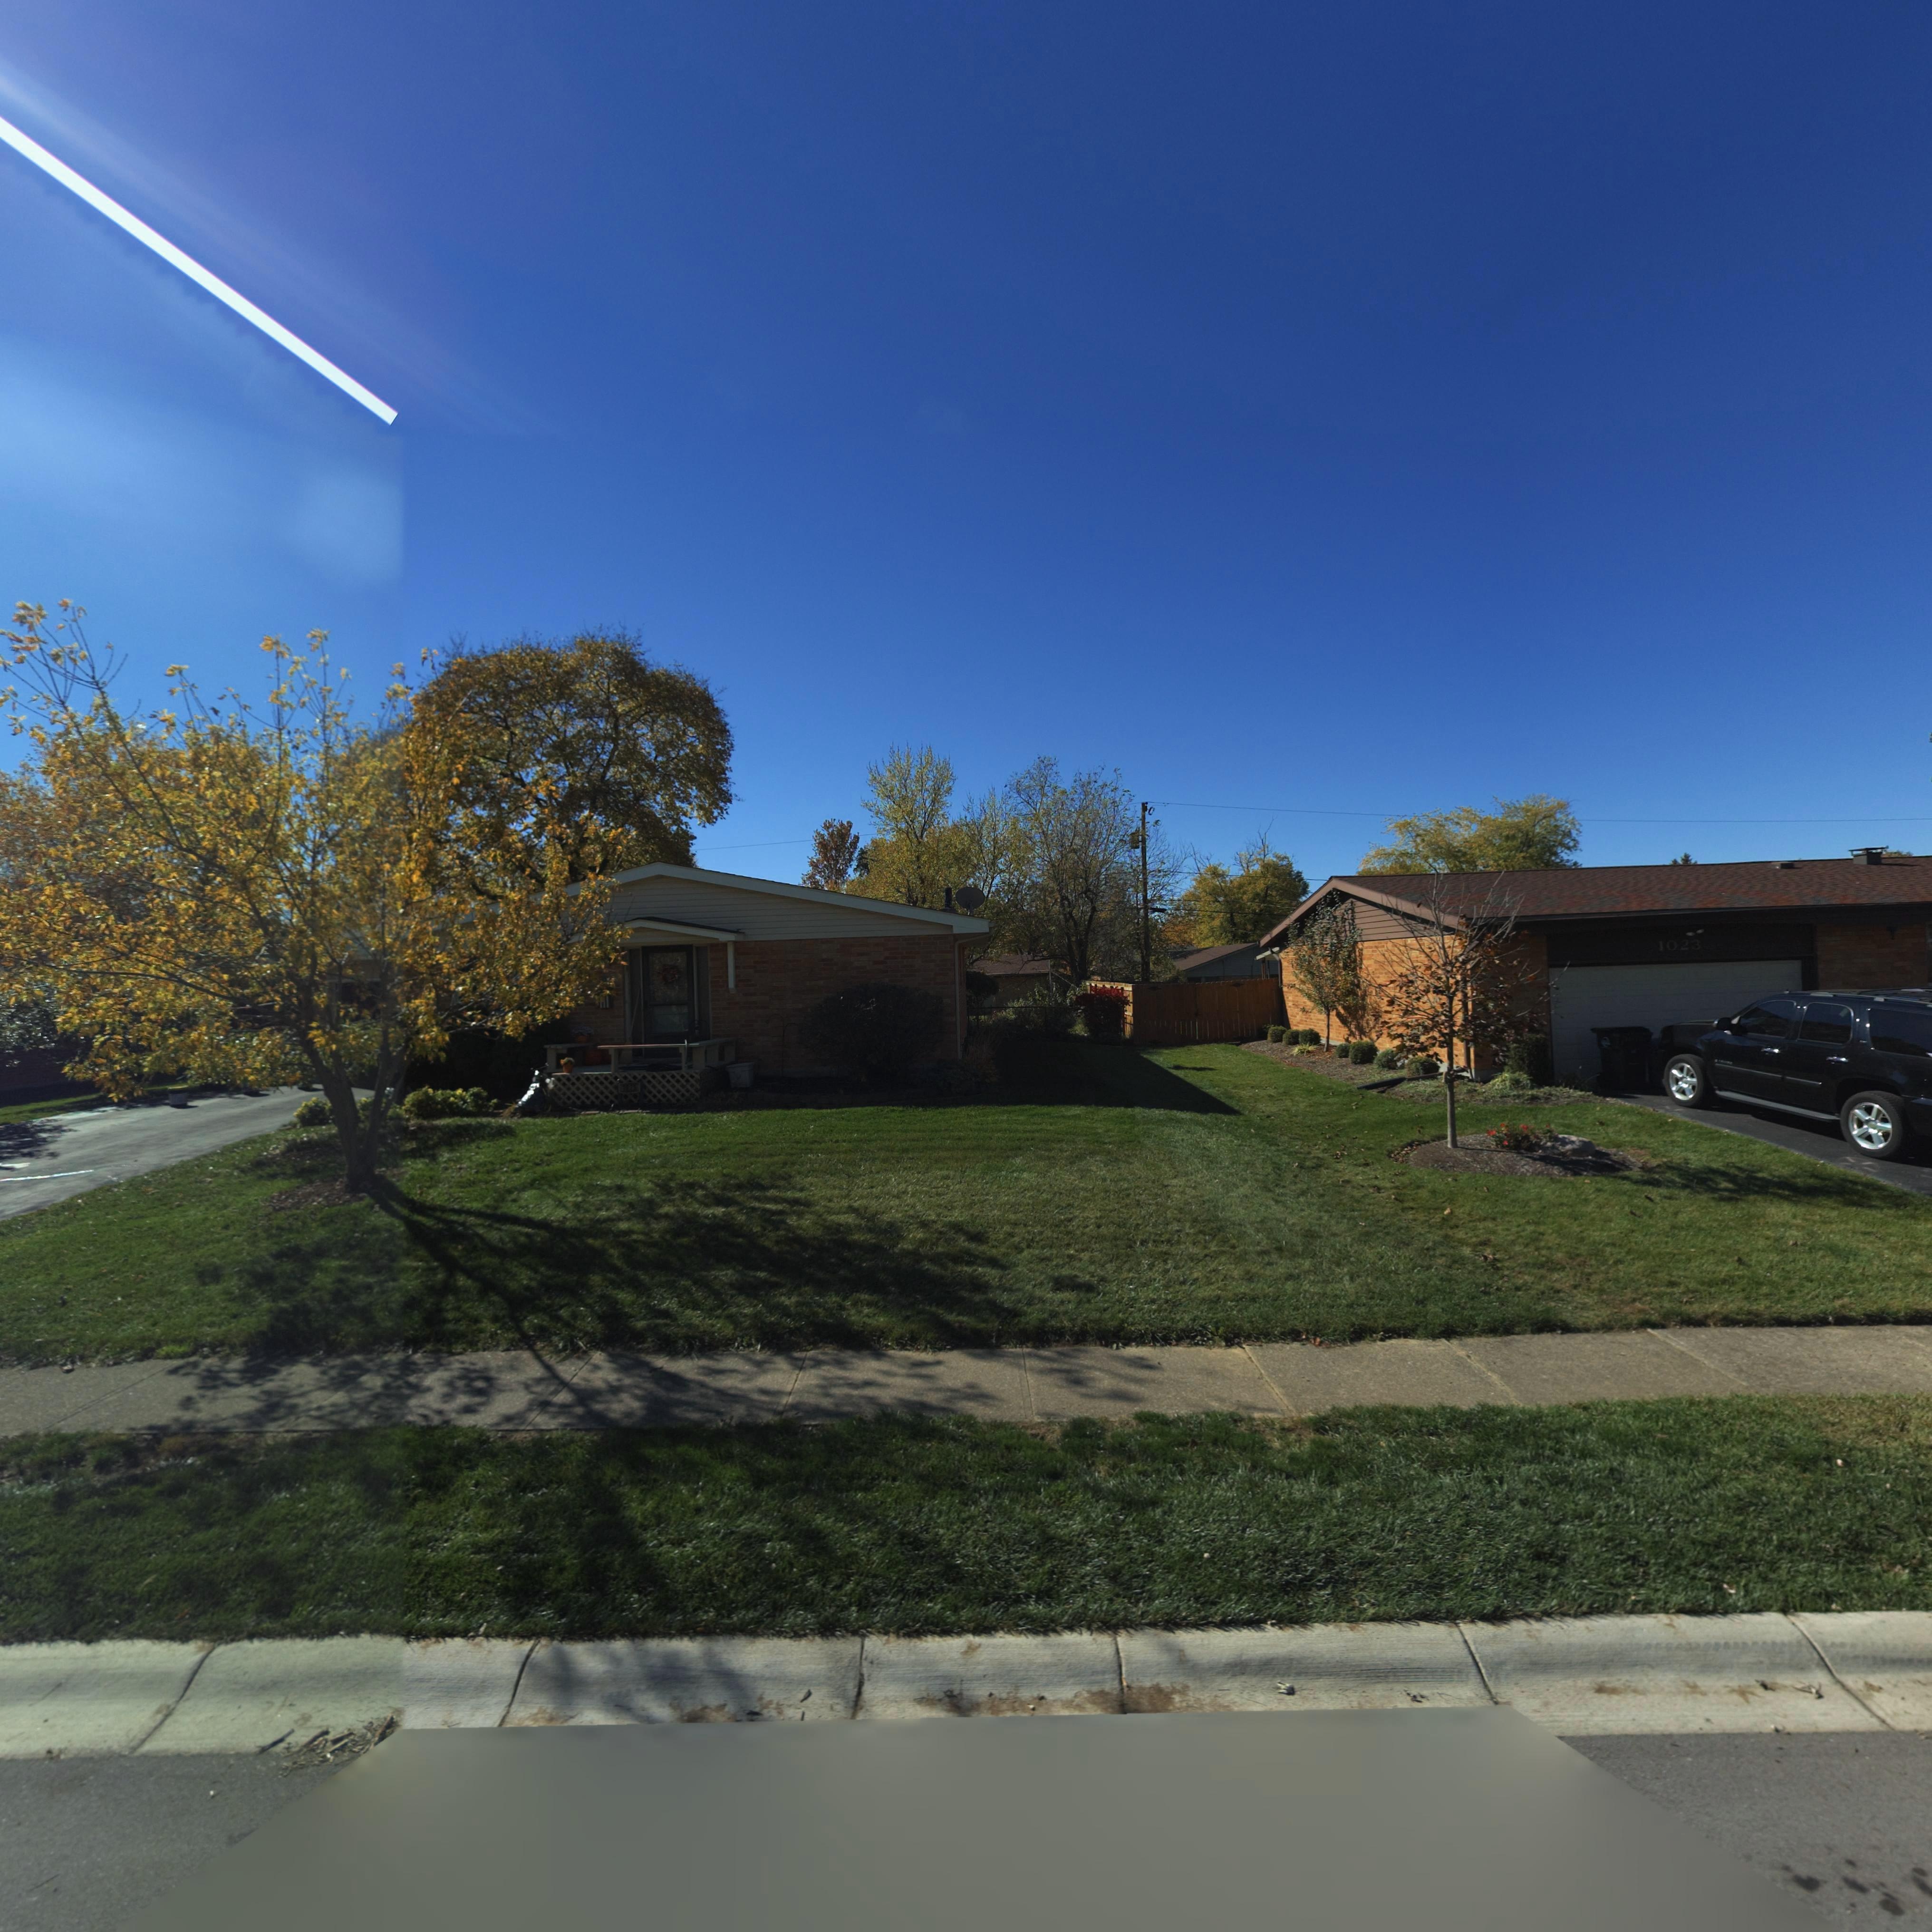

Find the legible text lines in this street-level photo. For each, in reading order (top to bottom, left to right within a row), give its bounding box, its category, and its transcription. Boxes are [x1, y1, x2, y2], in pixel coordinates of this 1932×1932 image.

[1657, 937, 1702, 953] StreetNumber: 1023